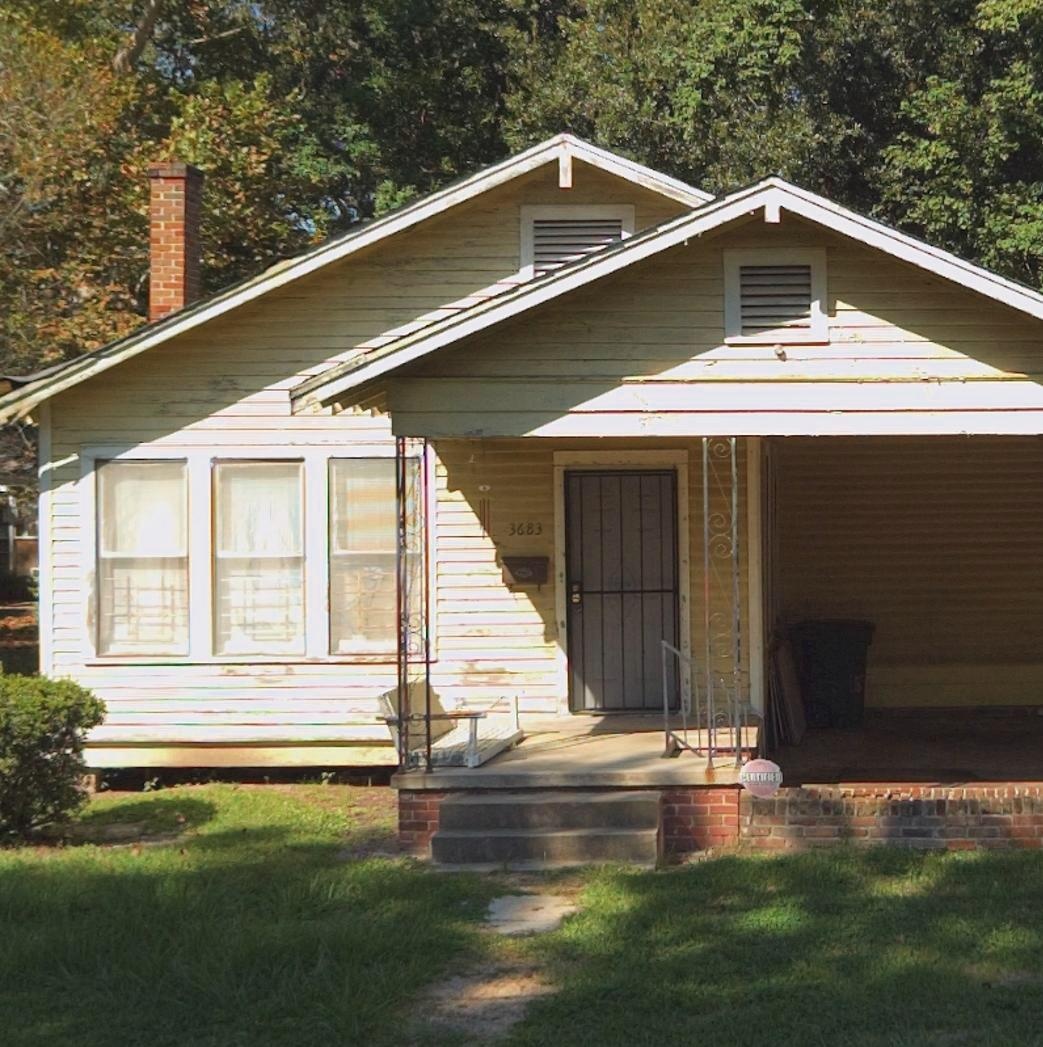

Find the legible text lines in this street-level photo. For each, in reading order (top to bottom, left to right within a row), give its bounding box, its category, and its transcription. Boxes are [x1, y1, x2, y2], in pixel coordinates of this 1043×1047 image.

[507, 522, 544, 537] StreetNumber: 3683